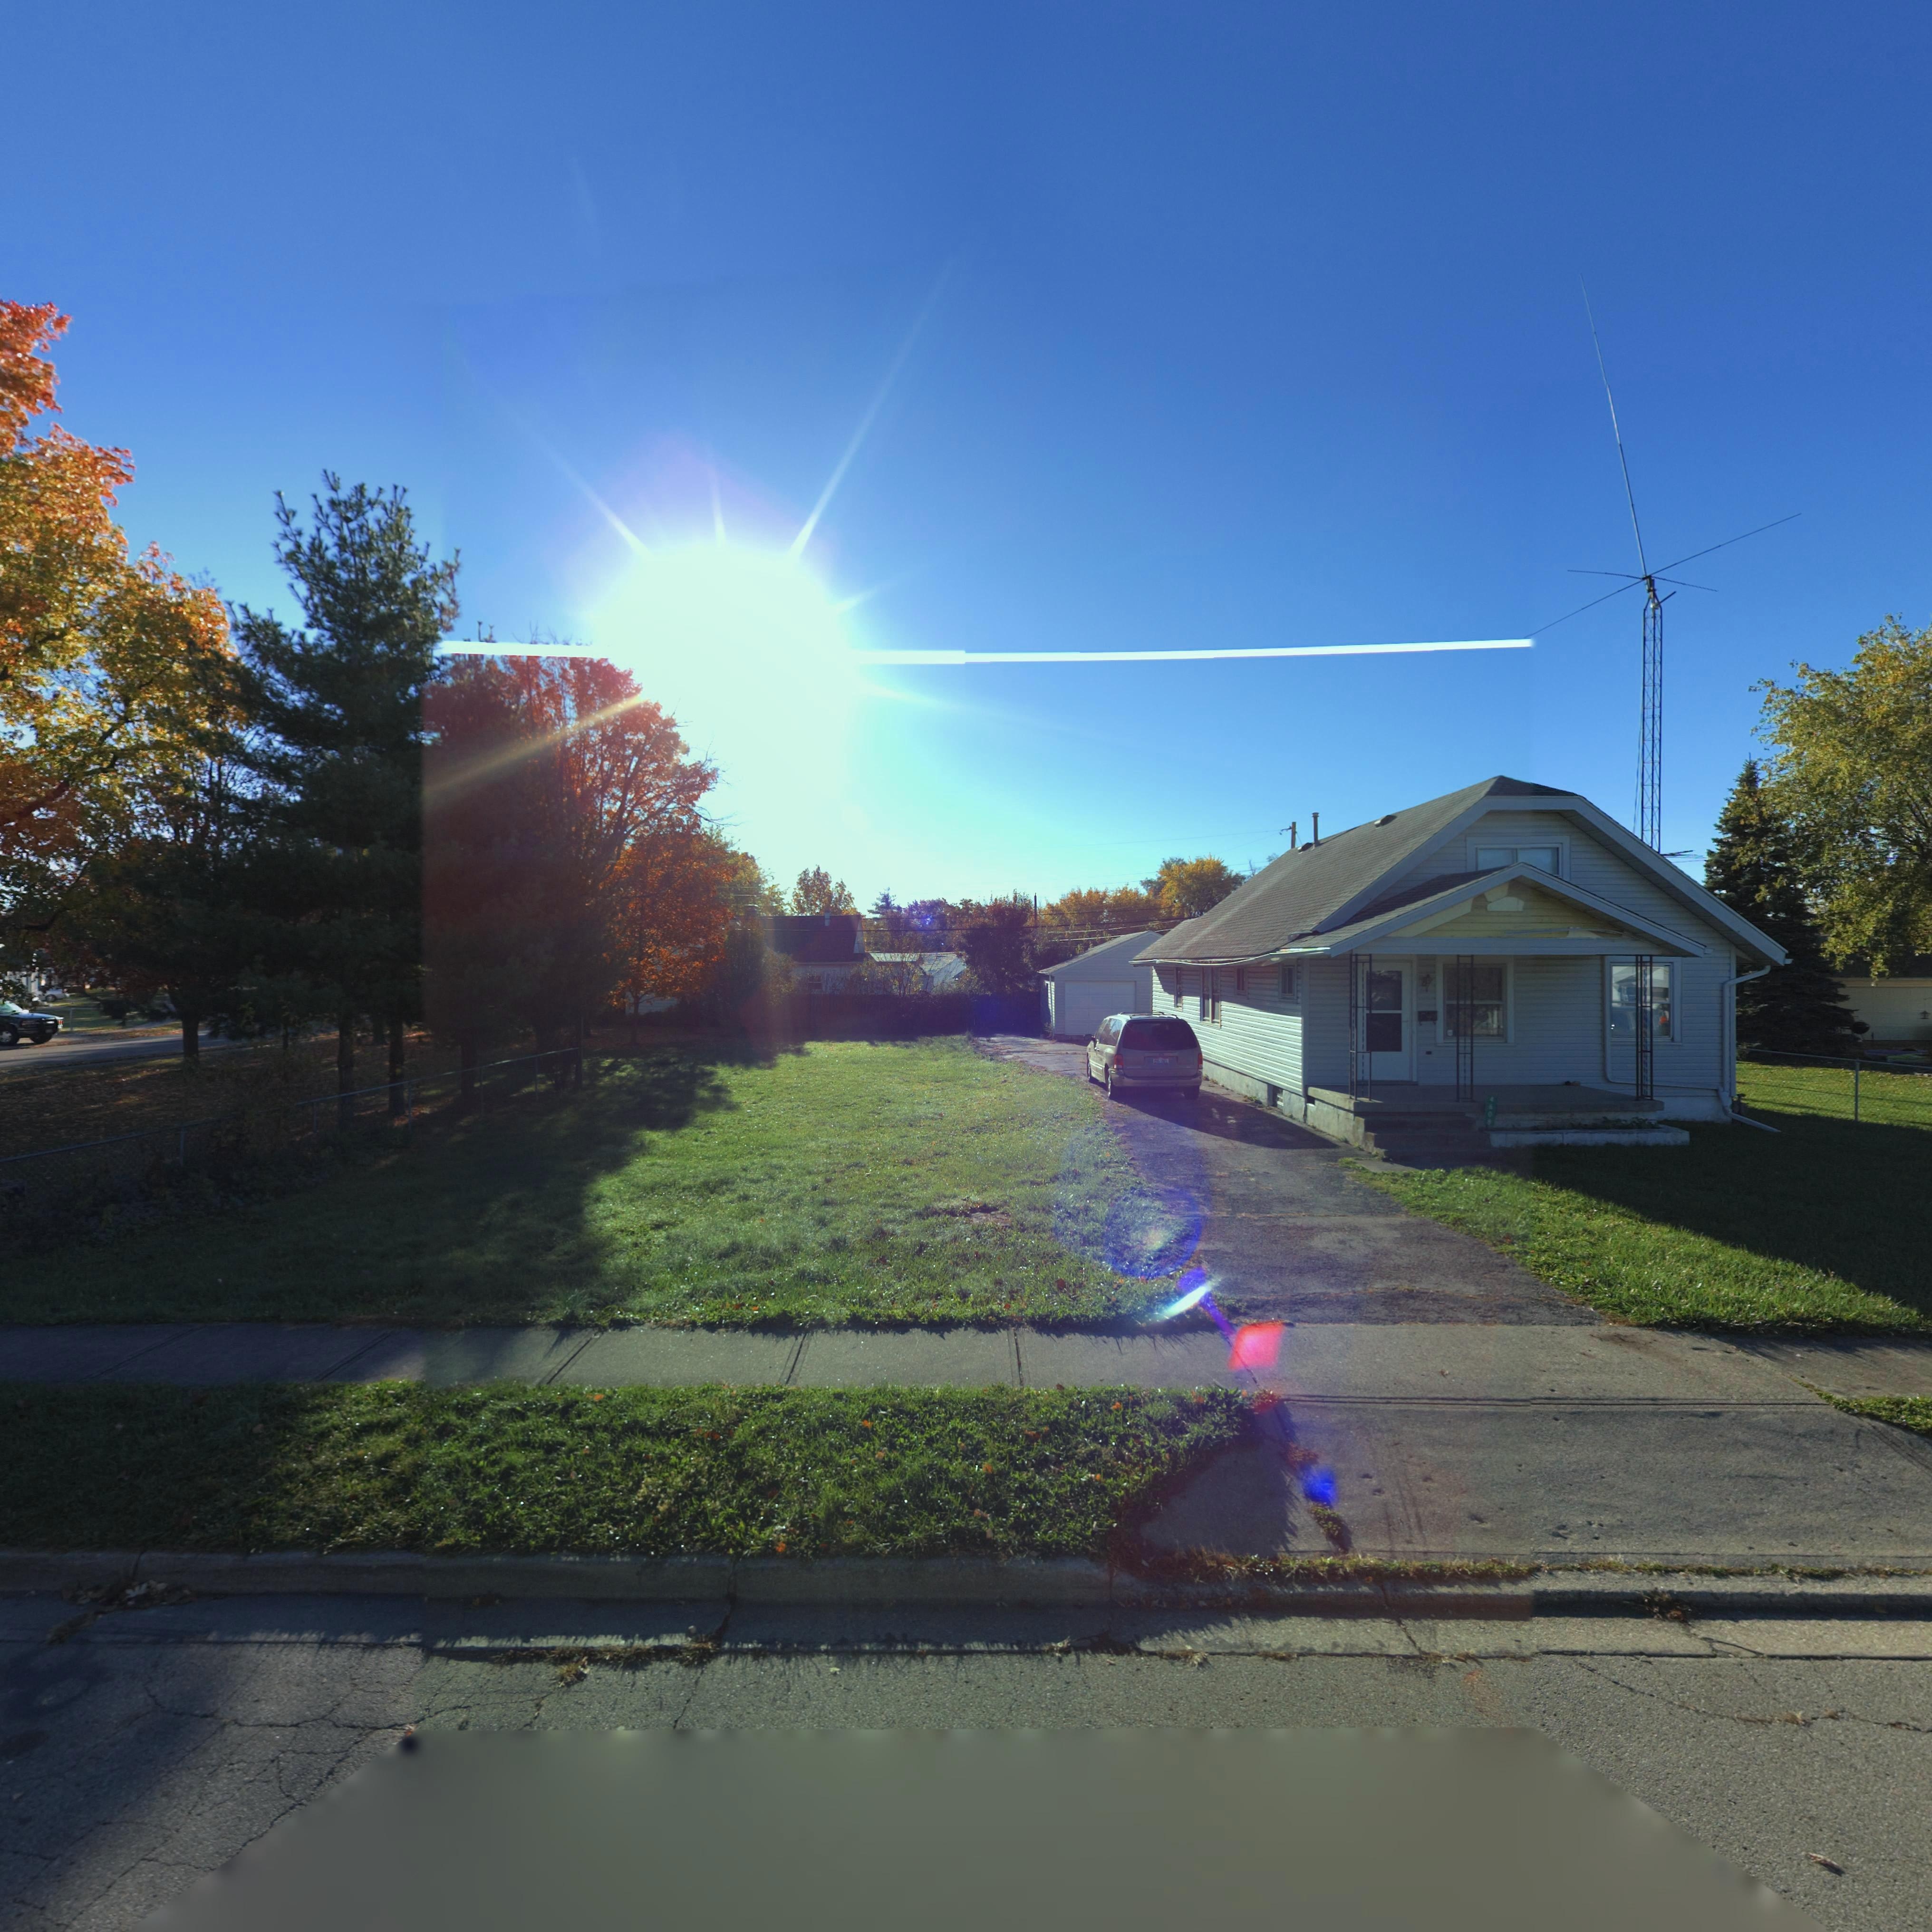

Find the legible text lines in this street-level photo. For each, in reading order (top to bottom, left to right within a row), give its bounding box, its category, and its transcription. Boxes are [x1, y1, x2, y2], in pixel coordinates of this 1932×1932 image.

[1486, 1096, 1495, 1126] StreetNumber: 4809